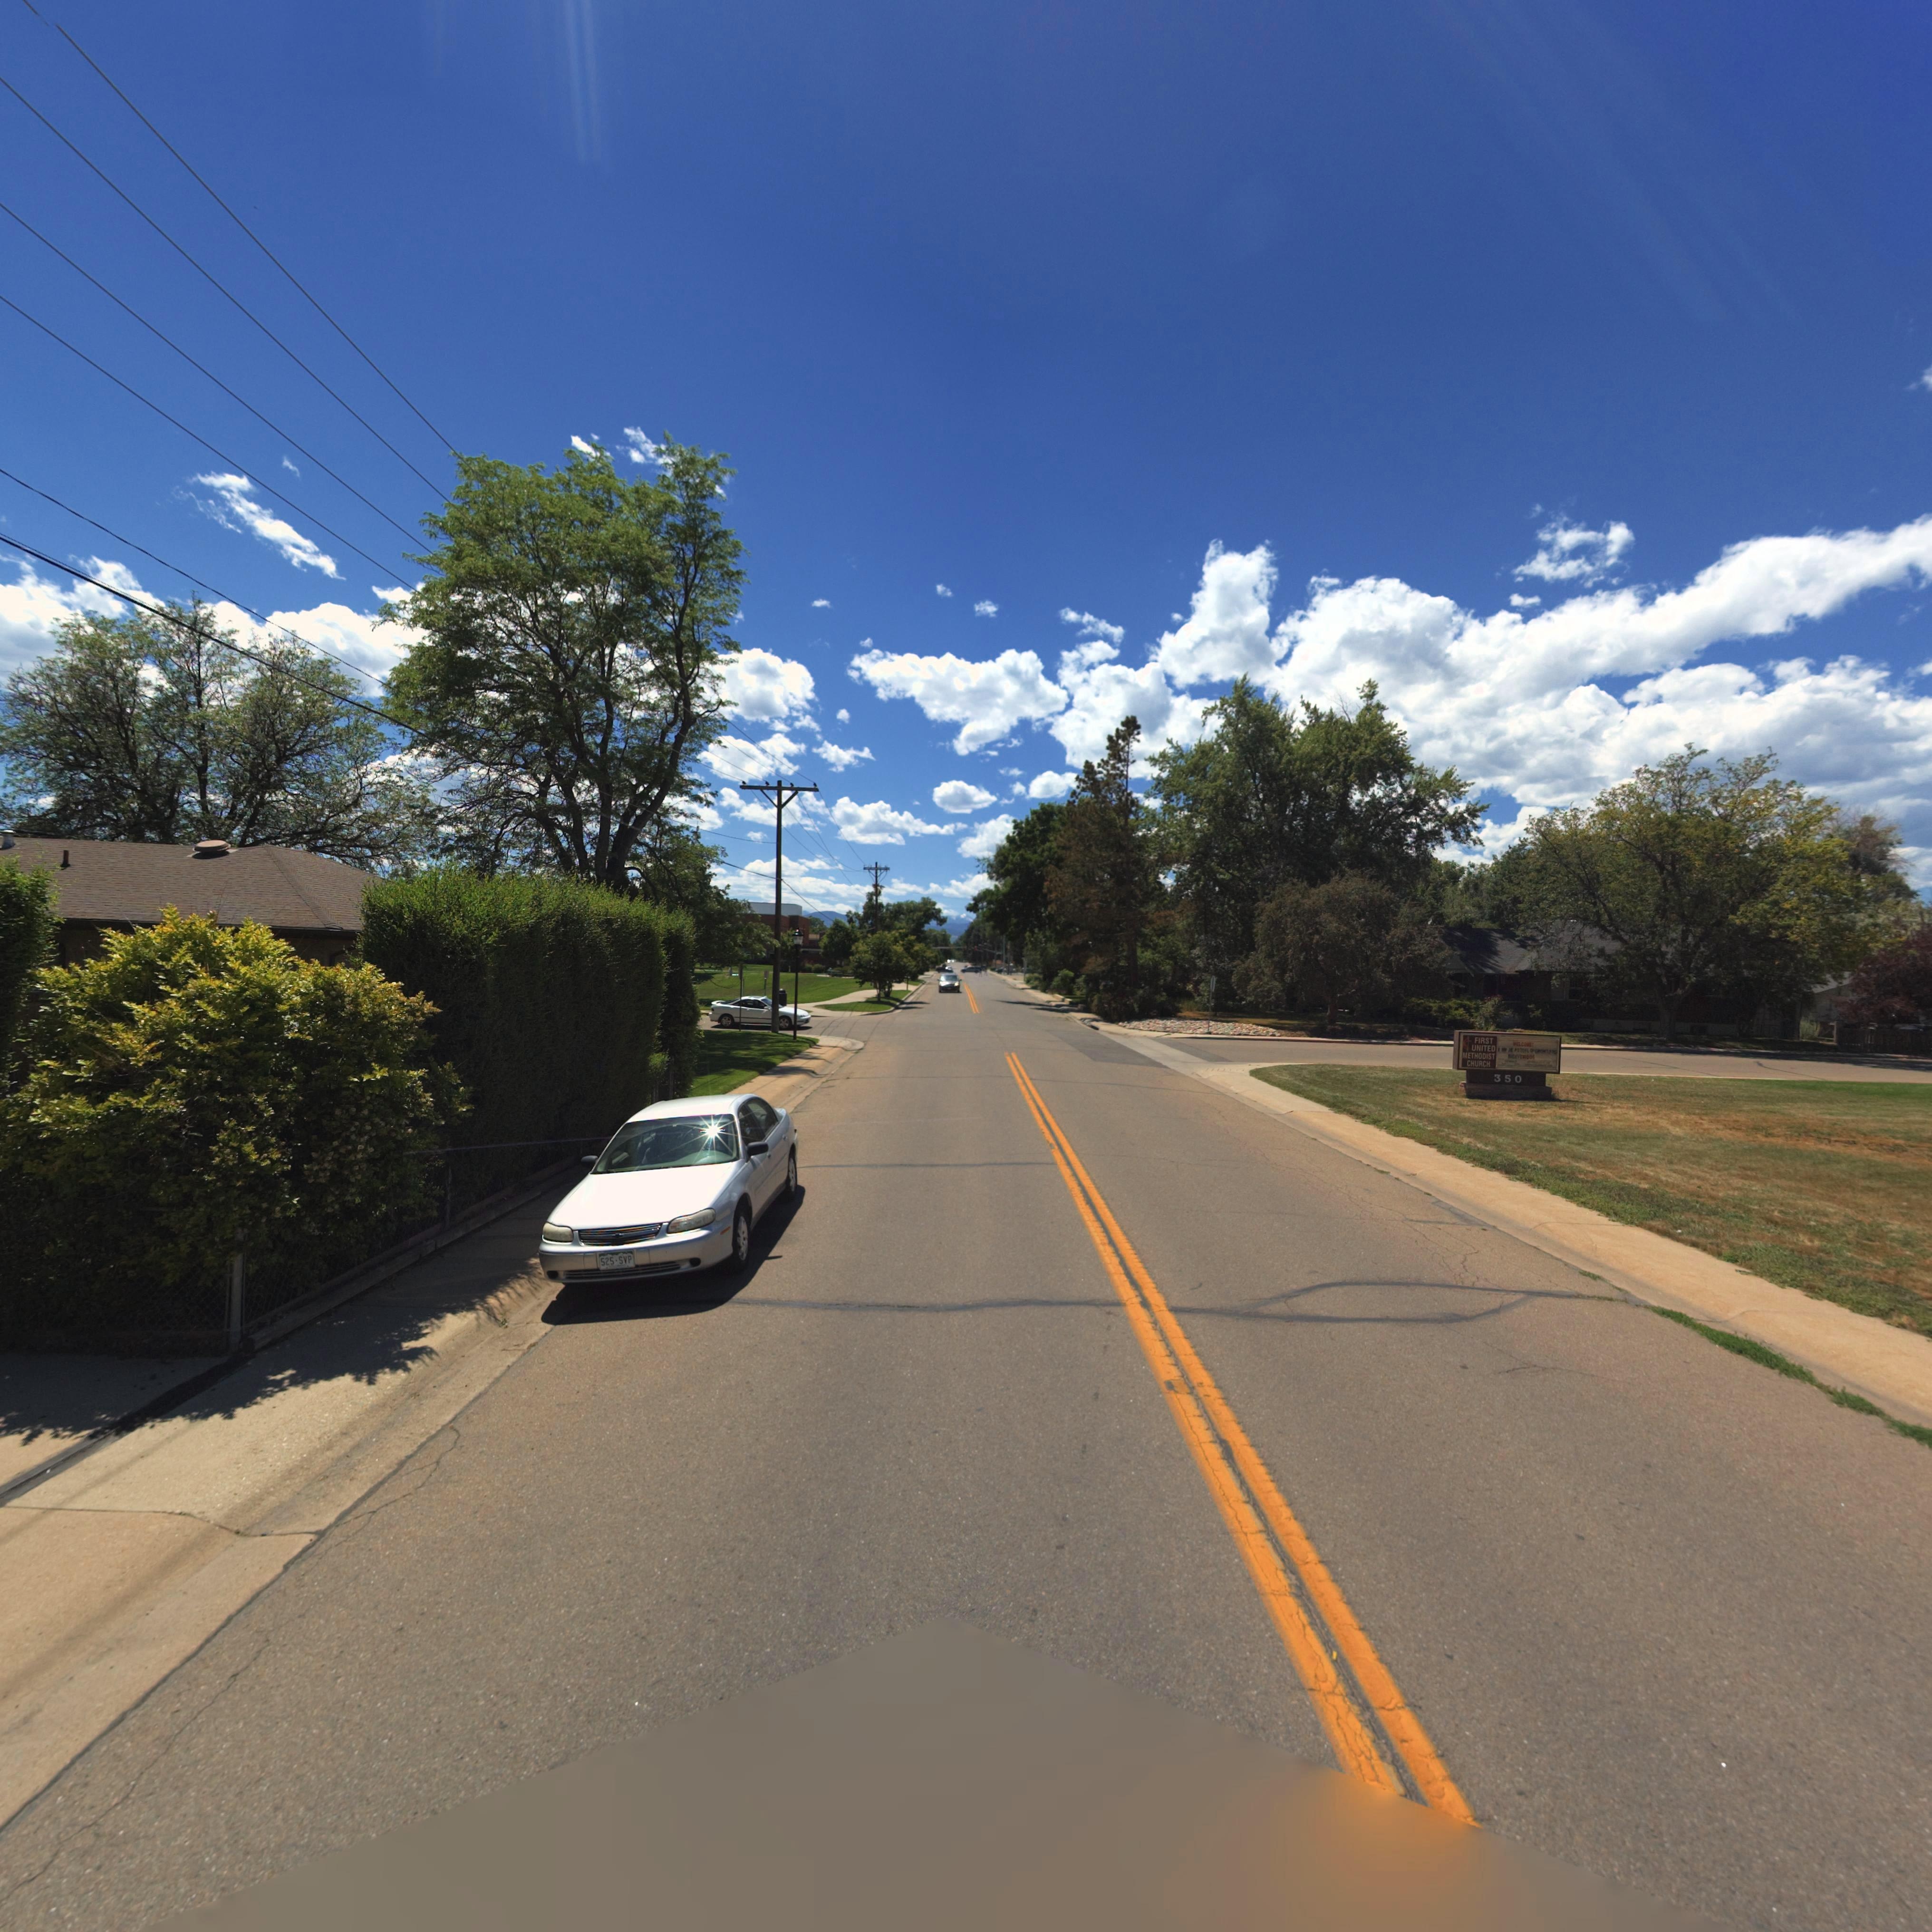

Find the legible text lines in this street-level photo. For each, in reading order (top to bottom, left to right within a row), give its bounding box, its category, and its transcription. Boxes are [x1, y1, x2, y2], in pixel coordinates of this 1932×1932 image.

[1474, 1037, 1493, 1044] BusinessName: FIRST
[1471, 1044, 1496, 1052] BusinessName: UNITED
[1462, 1052, 1496, 1060] BusinessName: METHODIST
[1467, 1060, 1490, 1067] BusinessName: CHURCH
[1493, 1074, 1522, 1083] StreetNumber: 350